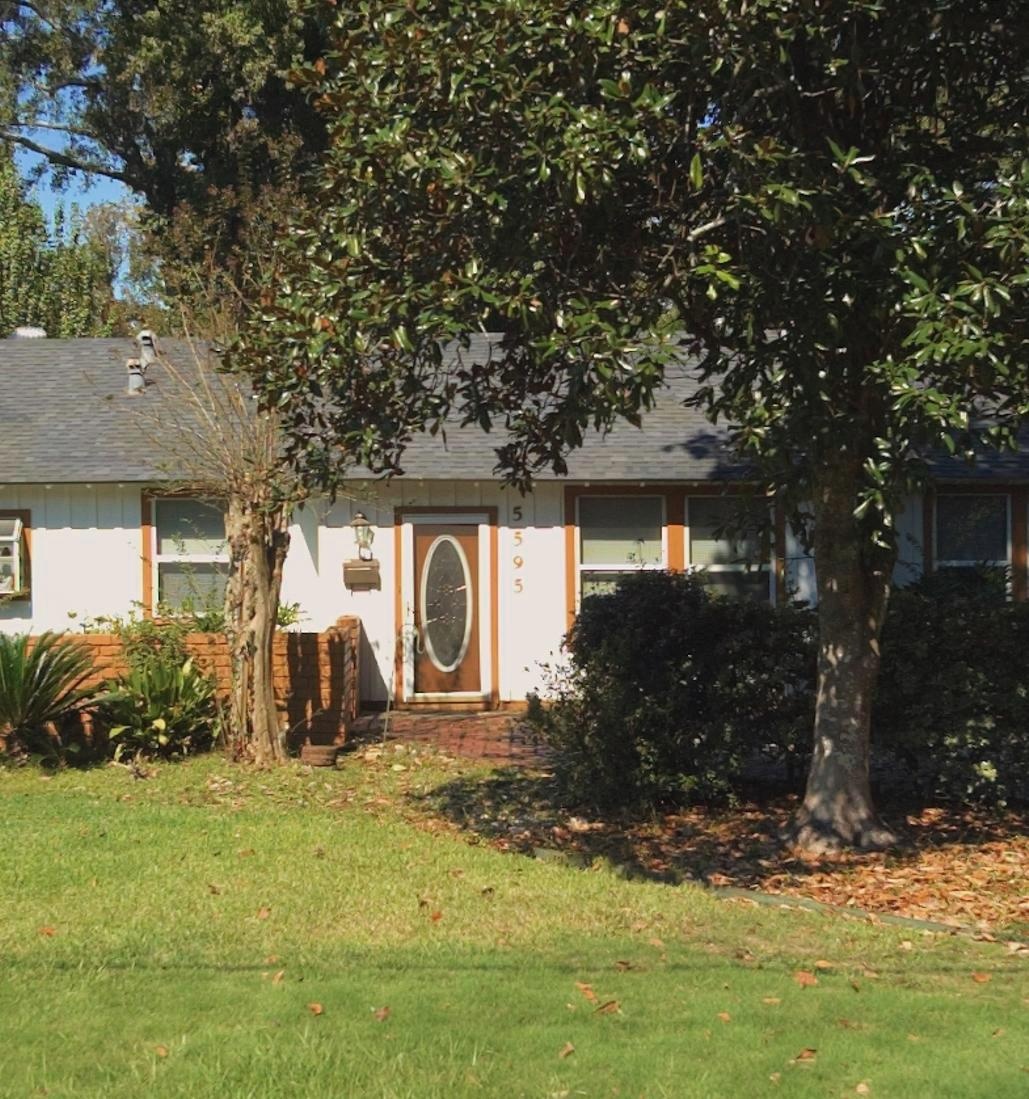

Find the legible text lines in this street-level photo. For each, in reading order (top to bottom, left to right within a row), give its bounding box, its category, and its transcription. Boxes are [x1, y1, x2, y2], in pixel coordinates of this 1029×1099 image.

[511, 503, 525, 595] StreetNumber: 5595